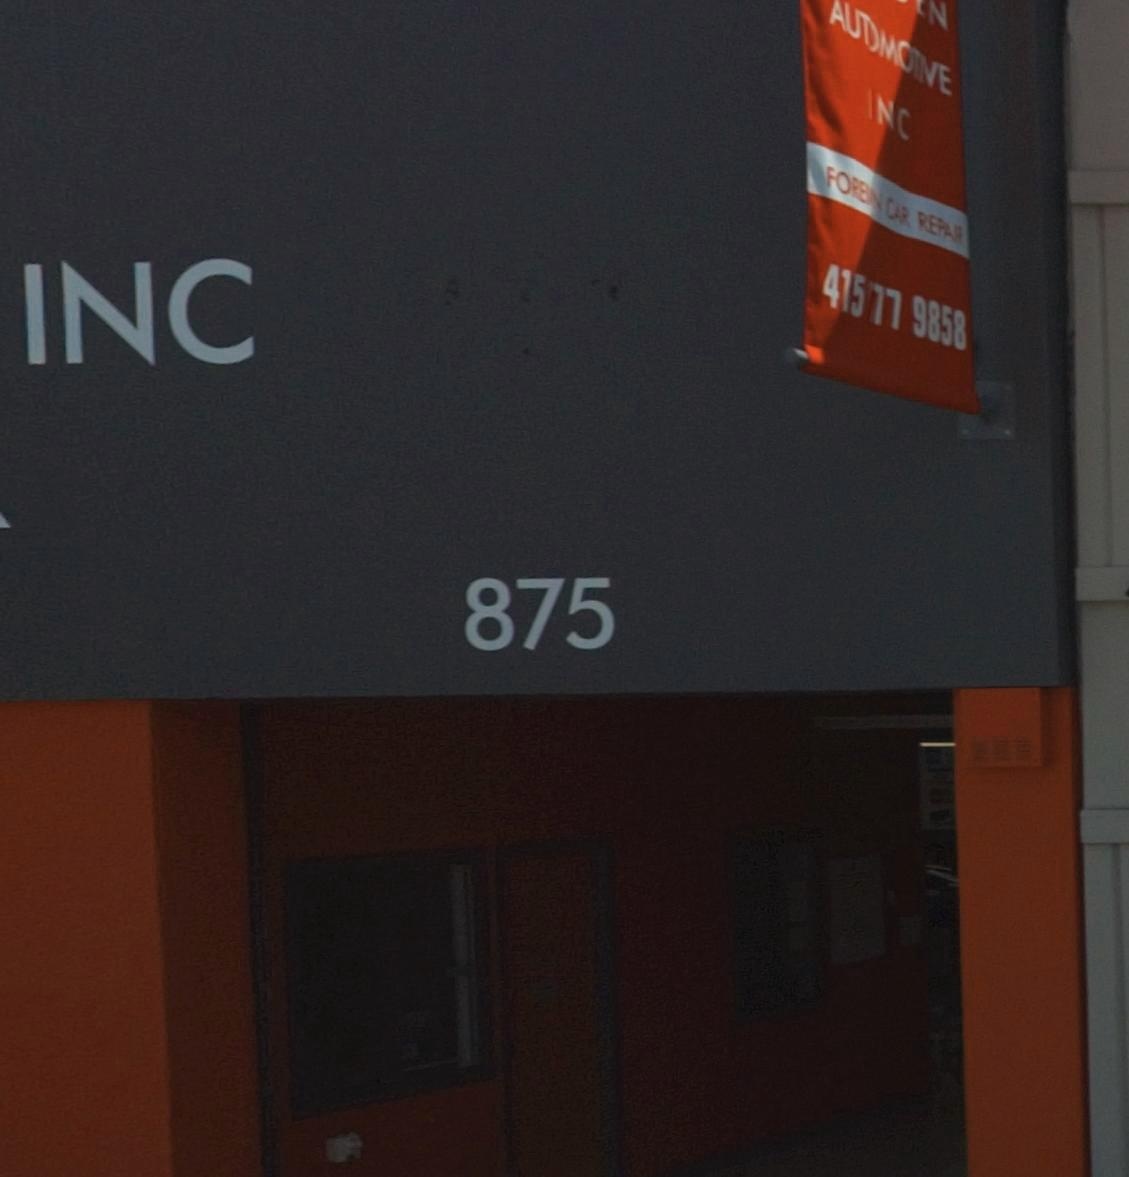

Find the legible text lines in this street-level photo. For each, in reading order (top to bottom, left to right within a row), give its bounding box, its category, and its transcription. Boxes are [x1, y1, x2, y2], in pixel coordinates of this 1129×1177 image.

[845, 2, 954, 99] None: UT*MOTIVE
[863, 85, 915, 143] None: INC
[822, 160, 967, 248] None: FOREIN CAR REPAIR
[20, 254, 257, 370] BusinessName: INC
[814, 259, 972, 355] None: 415 77 9858
[460, 575, 617, 652] StreetNumber: 875